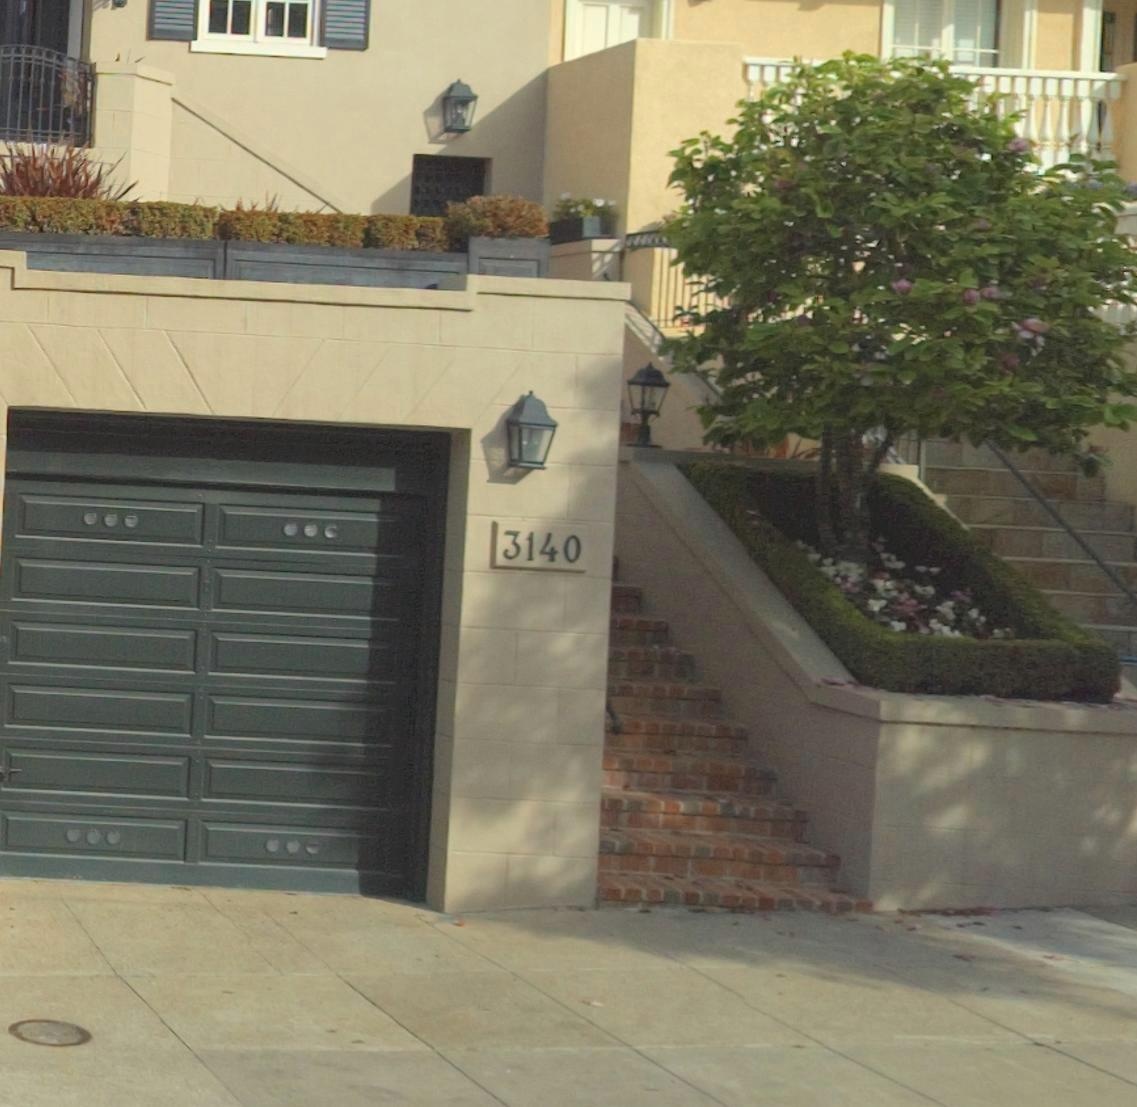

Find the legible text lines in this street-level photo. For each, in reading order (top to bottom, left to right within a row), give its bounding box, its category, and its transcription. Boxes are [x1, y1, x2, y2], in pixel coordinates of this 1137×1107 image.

[499, 527, 584, 567] StreetNumber: 3140